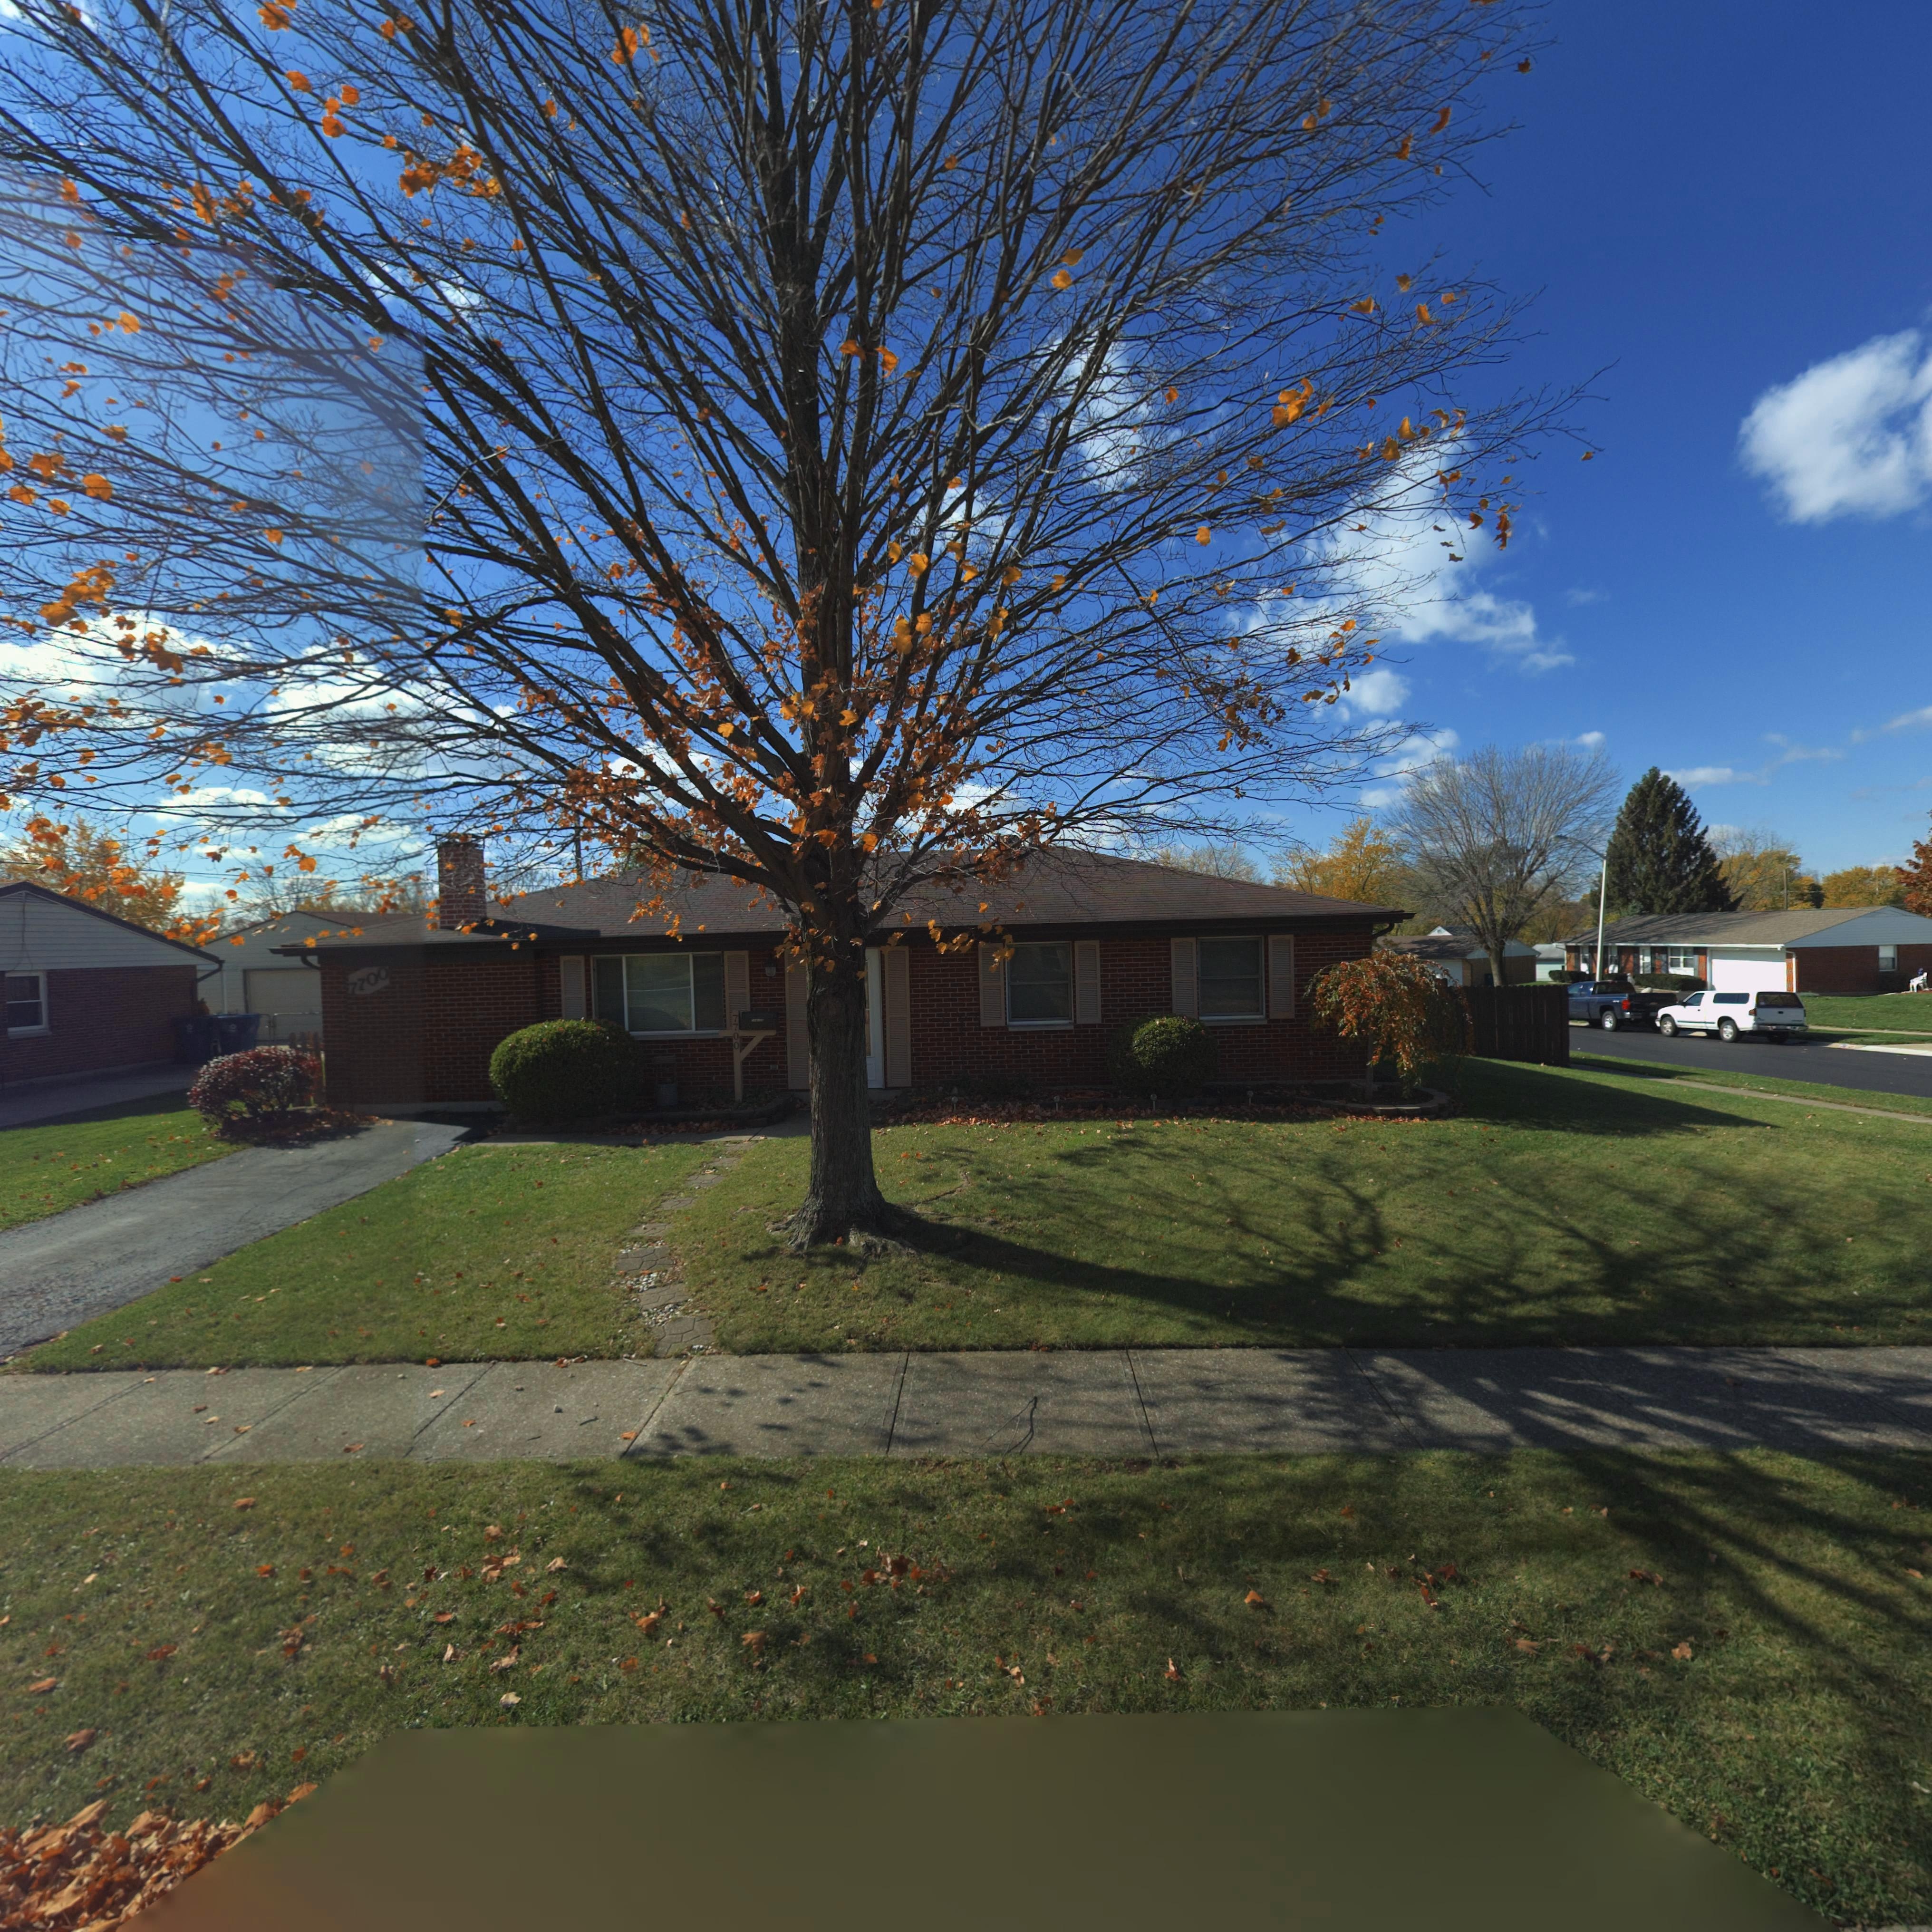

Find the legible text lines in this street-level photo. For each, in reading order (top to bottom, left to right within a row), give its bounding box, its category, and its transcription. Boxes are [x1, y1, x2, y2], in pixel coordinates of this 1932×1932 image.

[347, 966, 390, 996] StreetNumber: 7700
[732, 1013, 739, 1050] StreetNumber: 7700